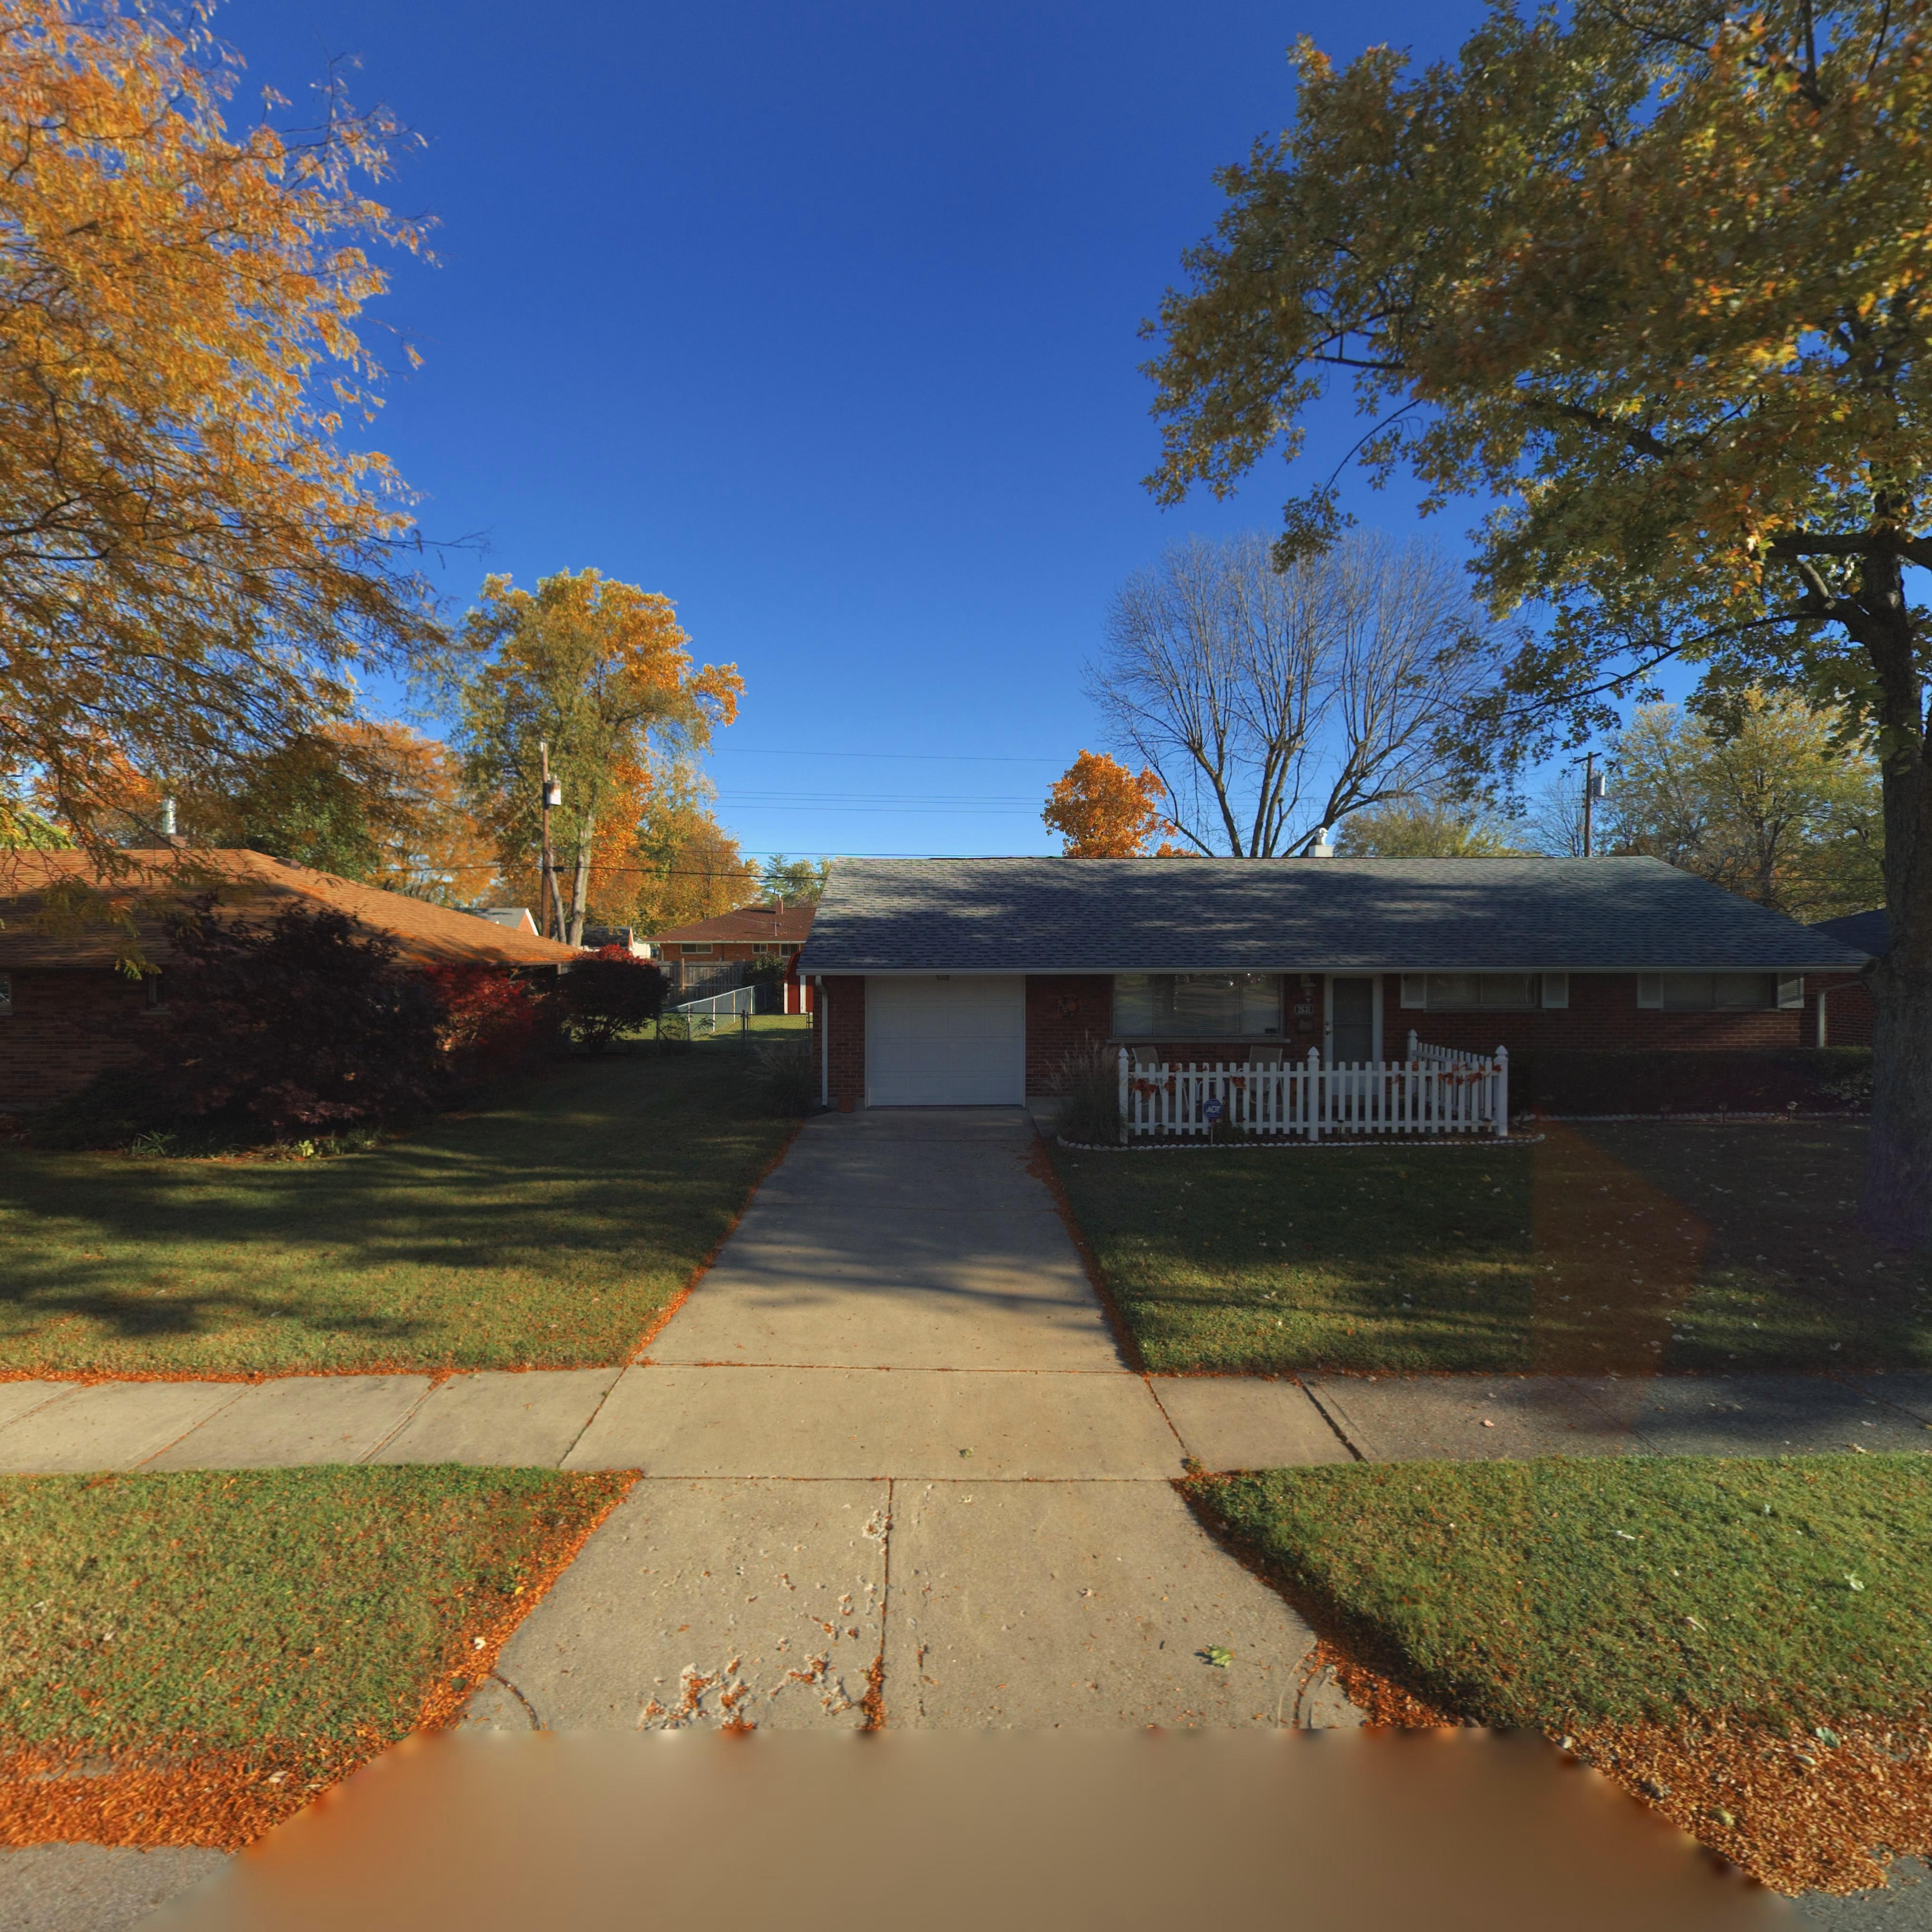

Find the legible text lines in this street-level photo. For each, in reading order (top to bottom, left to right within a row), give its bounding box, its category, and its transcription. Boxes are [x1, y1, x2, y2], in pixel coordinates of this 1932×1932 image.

[1297, 1005, 1311, 1014] StreetNumber: 2631